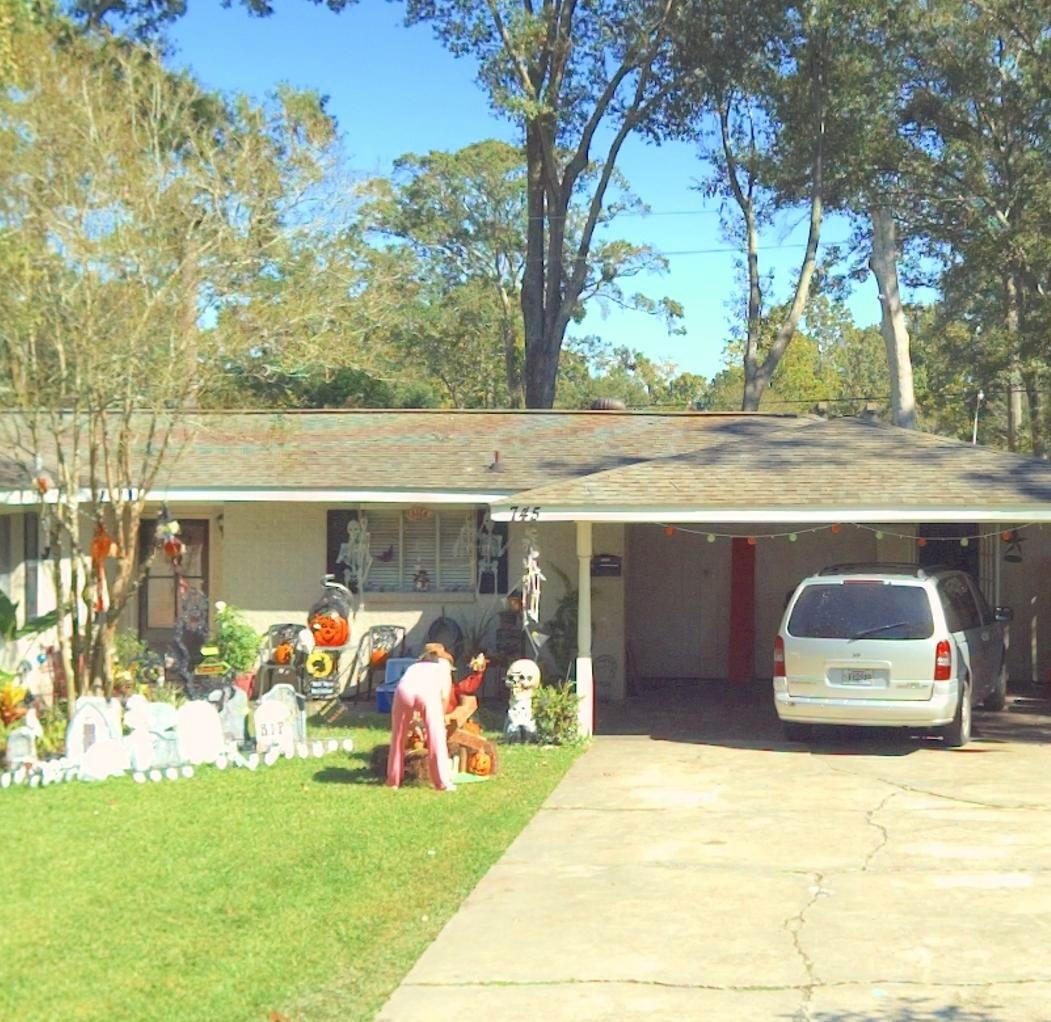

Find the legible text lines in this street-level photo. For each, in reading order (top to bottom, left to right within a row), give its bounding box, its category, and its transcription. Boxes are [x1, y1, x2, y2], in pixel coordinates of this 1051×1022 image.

[508, 505, 542, 522] StreetNumber: 745
[257, 719, 290, 740] None: RIP